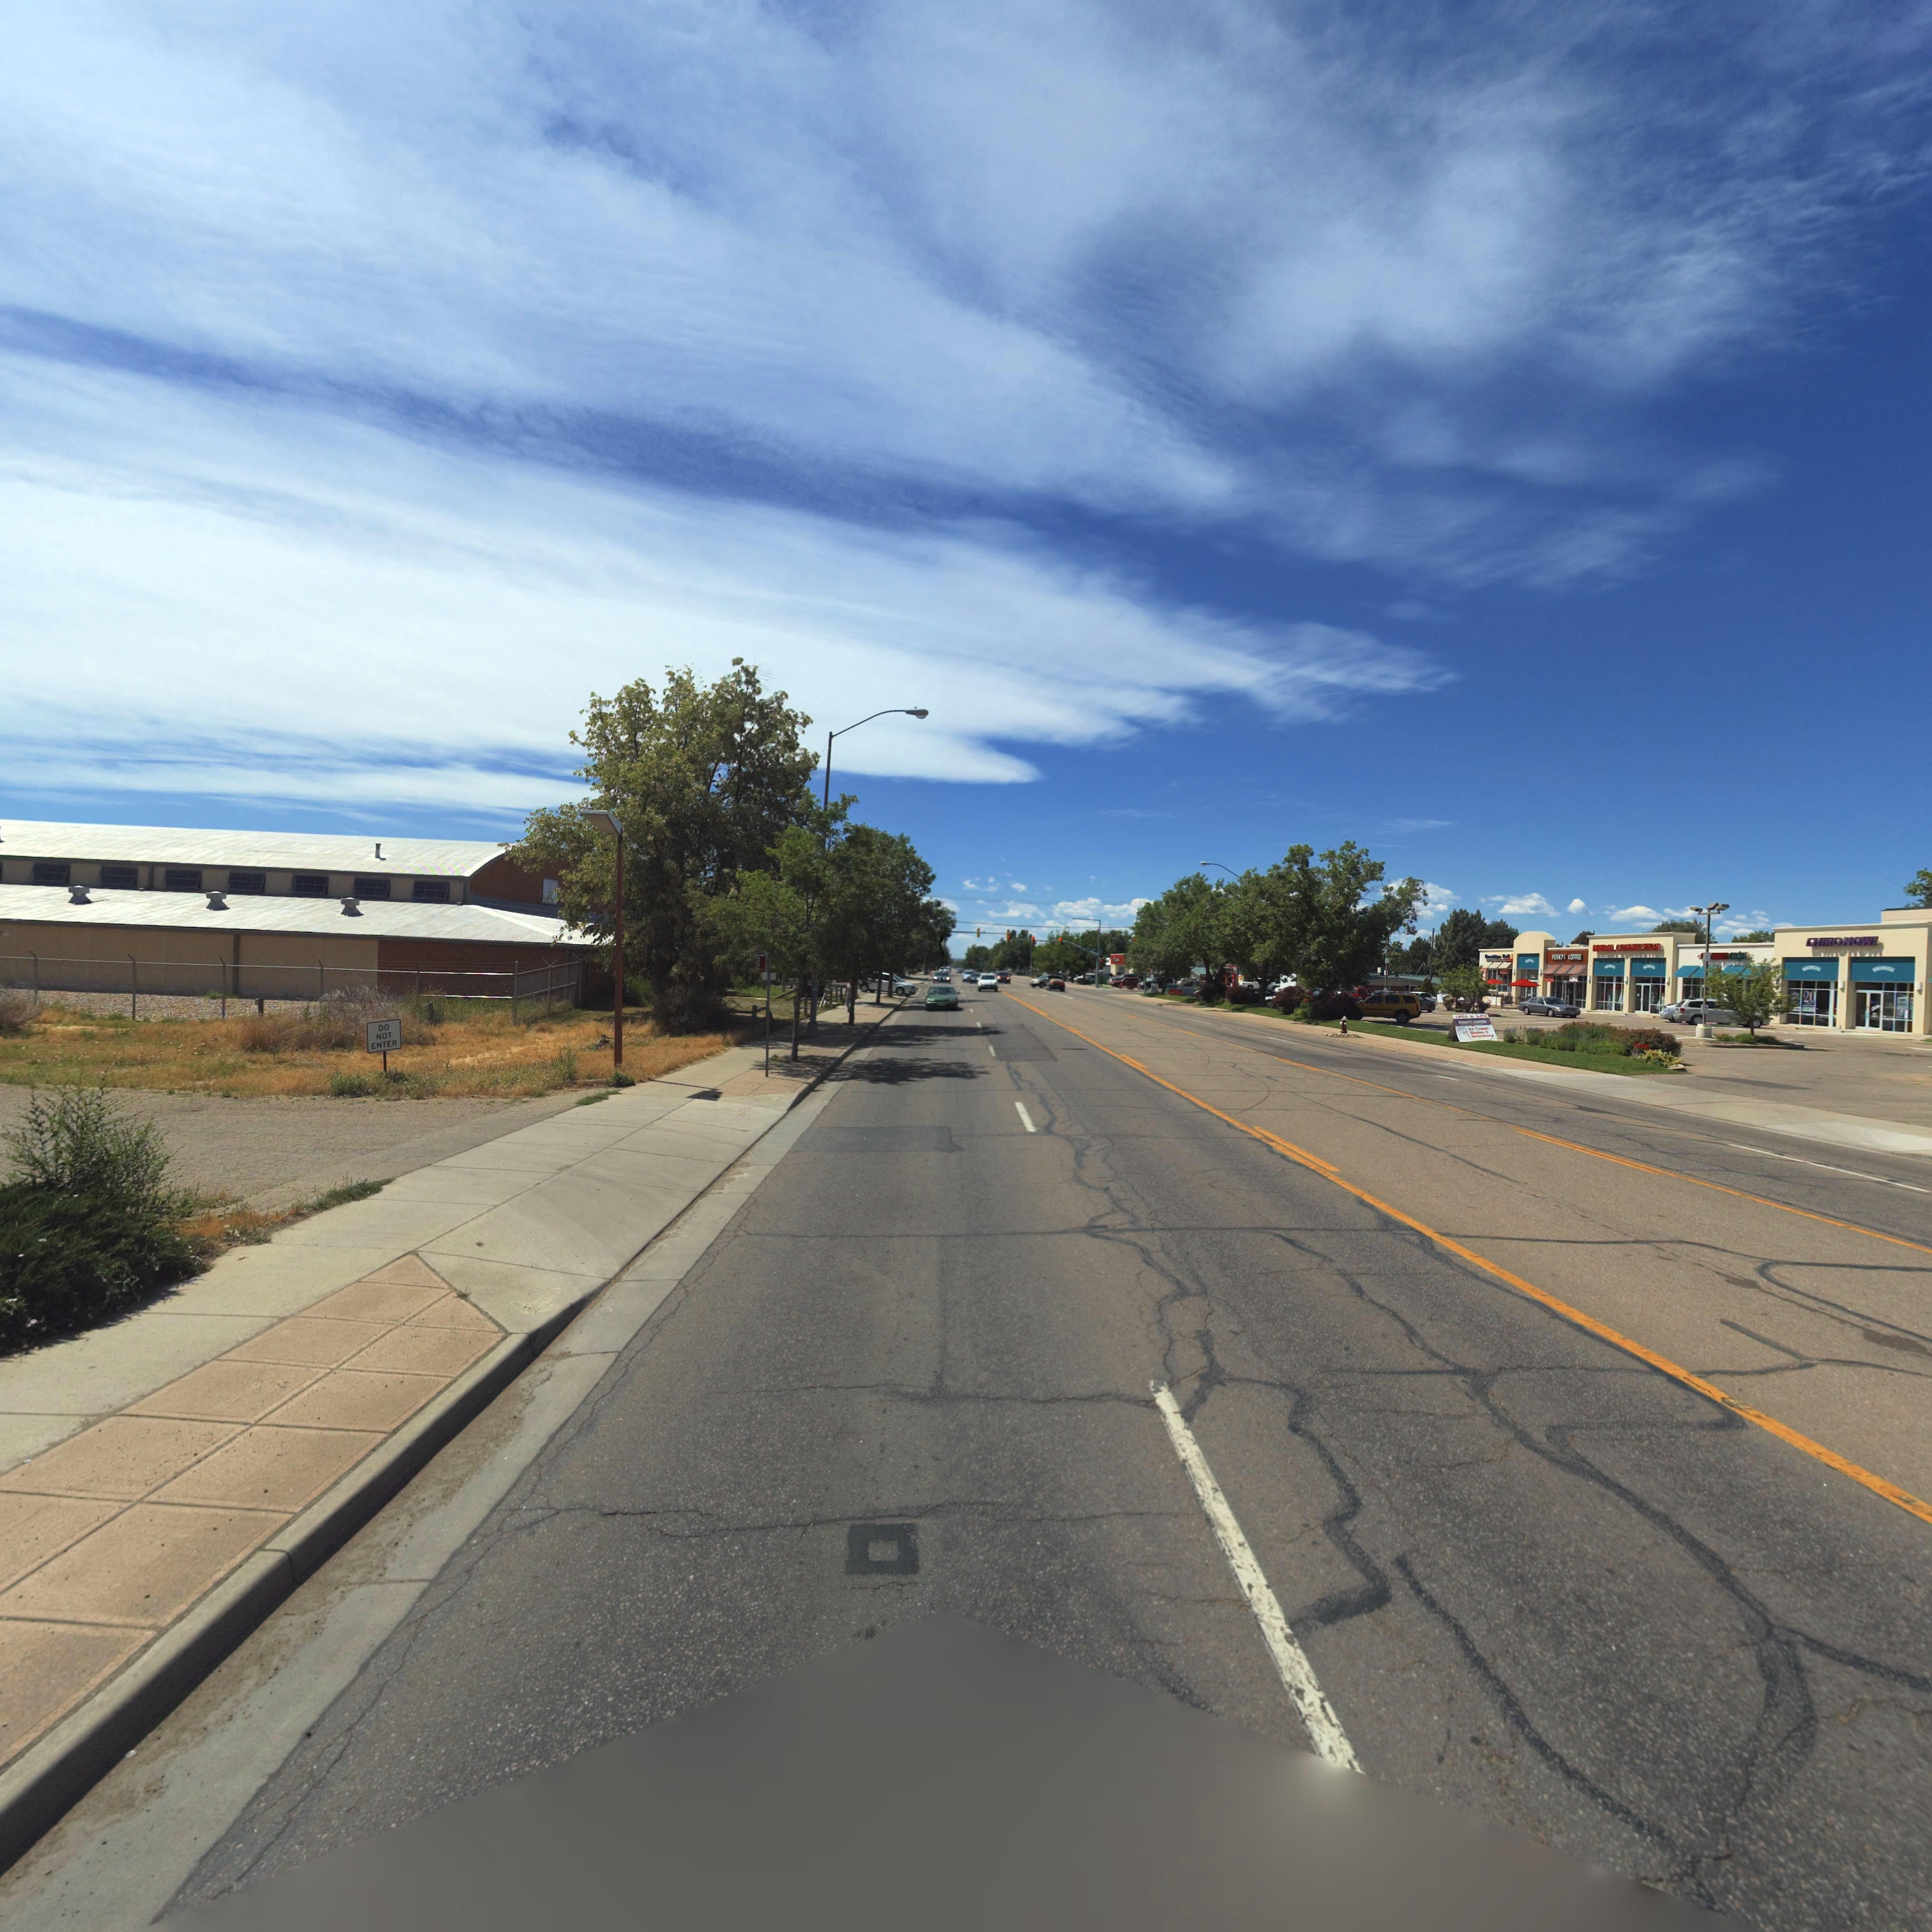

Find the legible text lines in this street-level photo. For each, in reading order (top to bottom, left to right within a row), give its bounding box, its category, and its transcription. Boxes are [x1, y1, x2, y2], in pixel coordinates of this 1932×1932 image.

[1805, 936, 1879, 947] BusinessName: CHIRO NOW!
[1592, 943, 1660, 952] BusinessName: ****AL CONNECTION
[1551, 954, 1582, 960] BusinessName: PERKYS COFFEE
[1458, 1020, 1487, 1024] BusinessName: P**KY CO*FEE